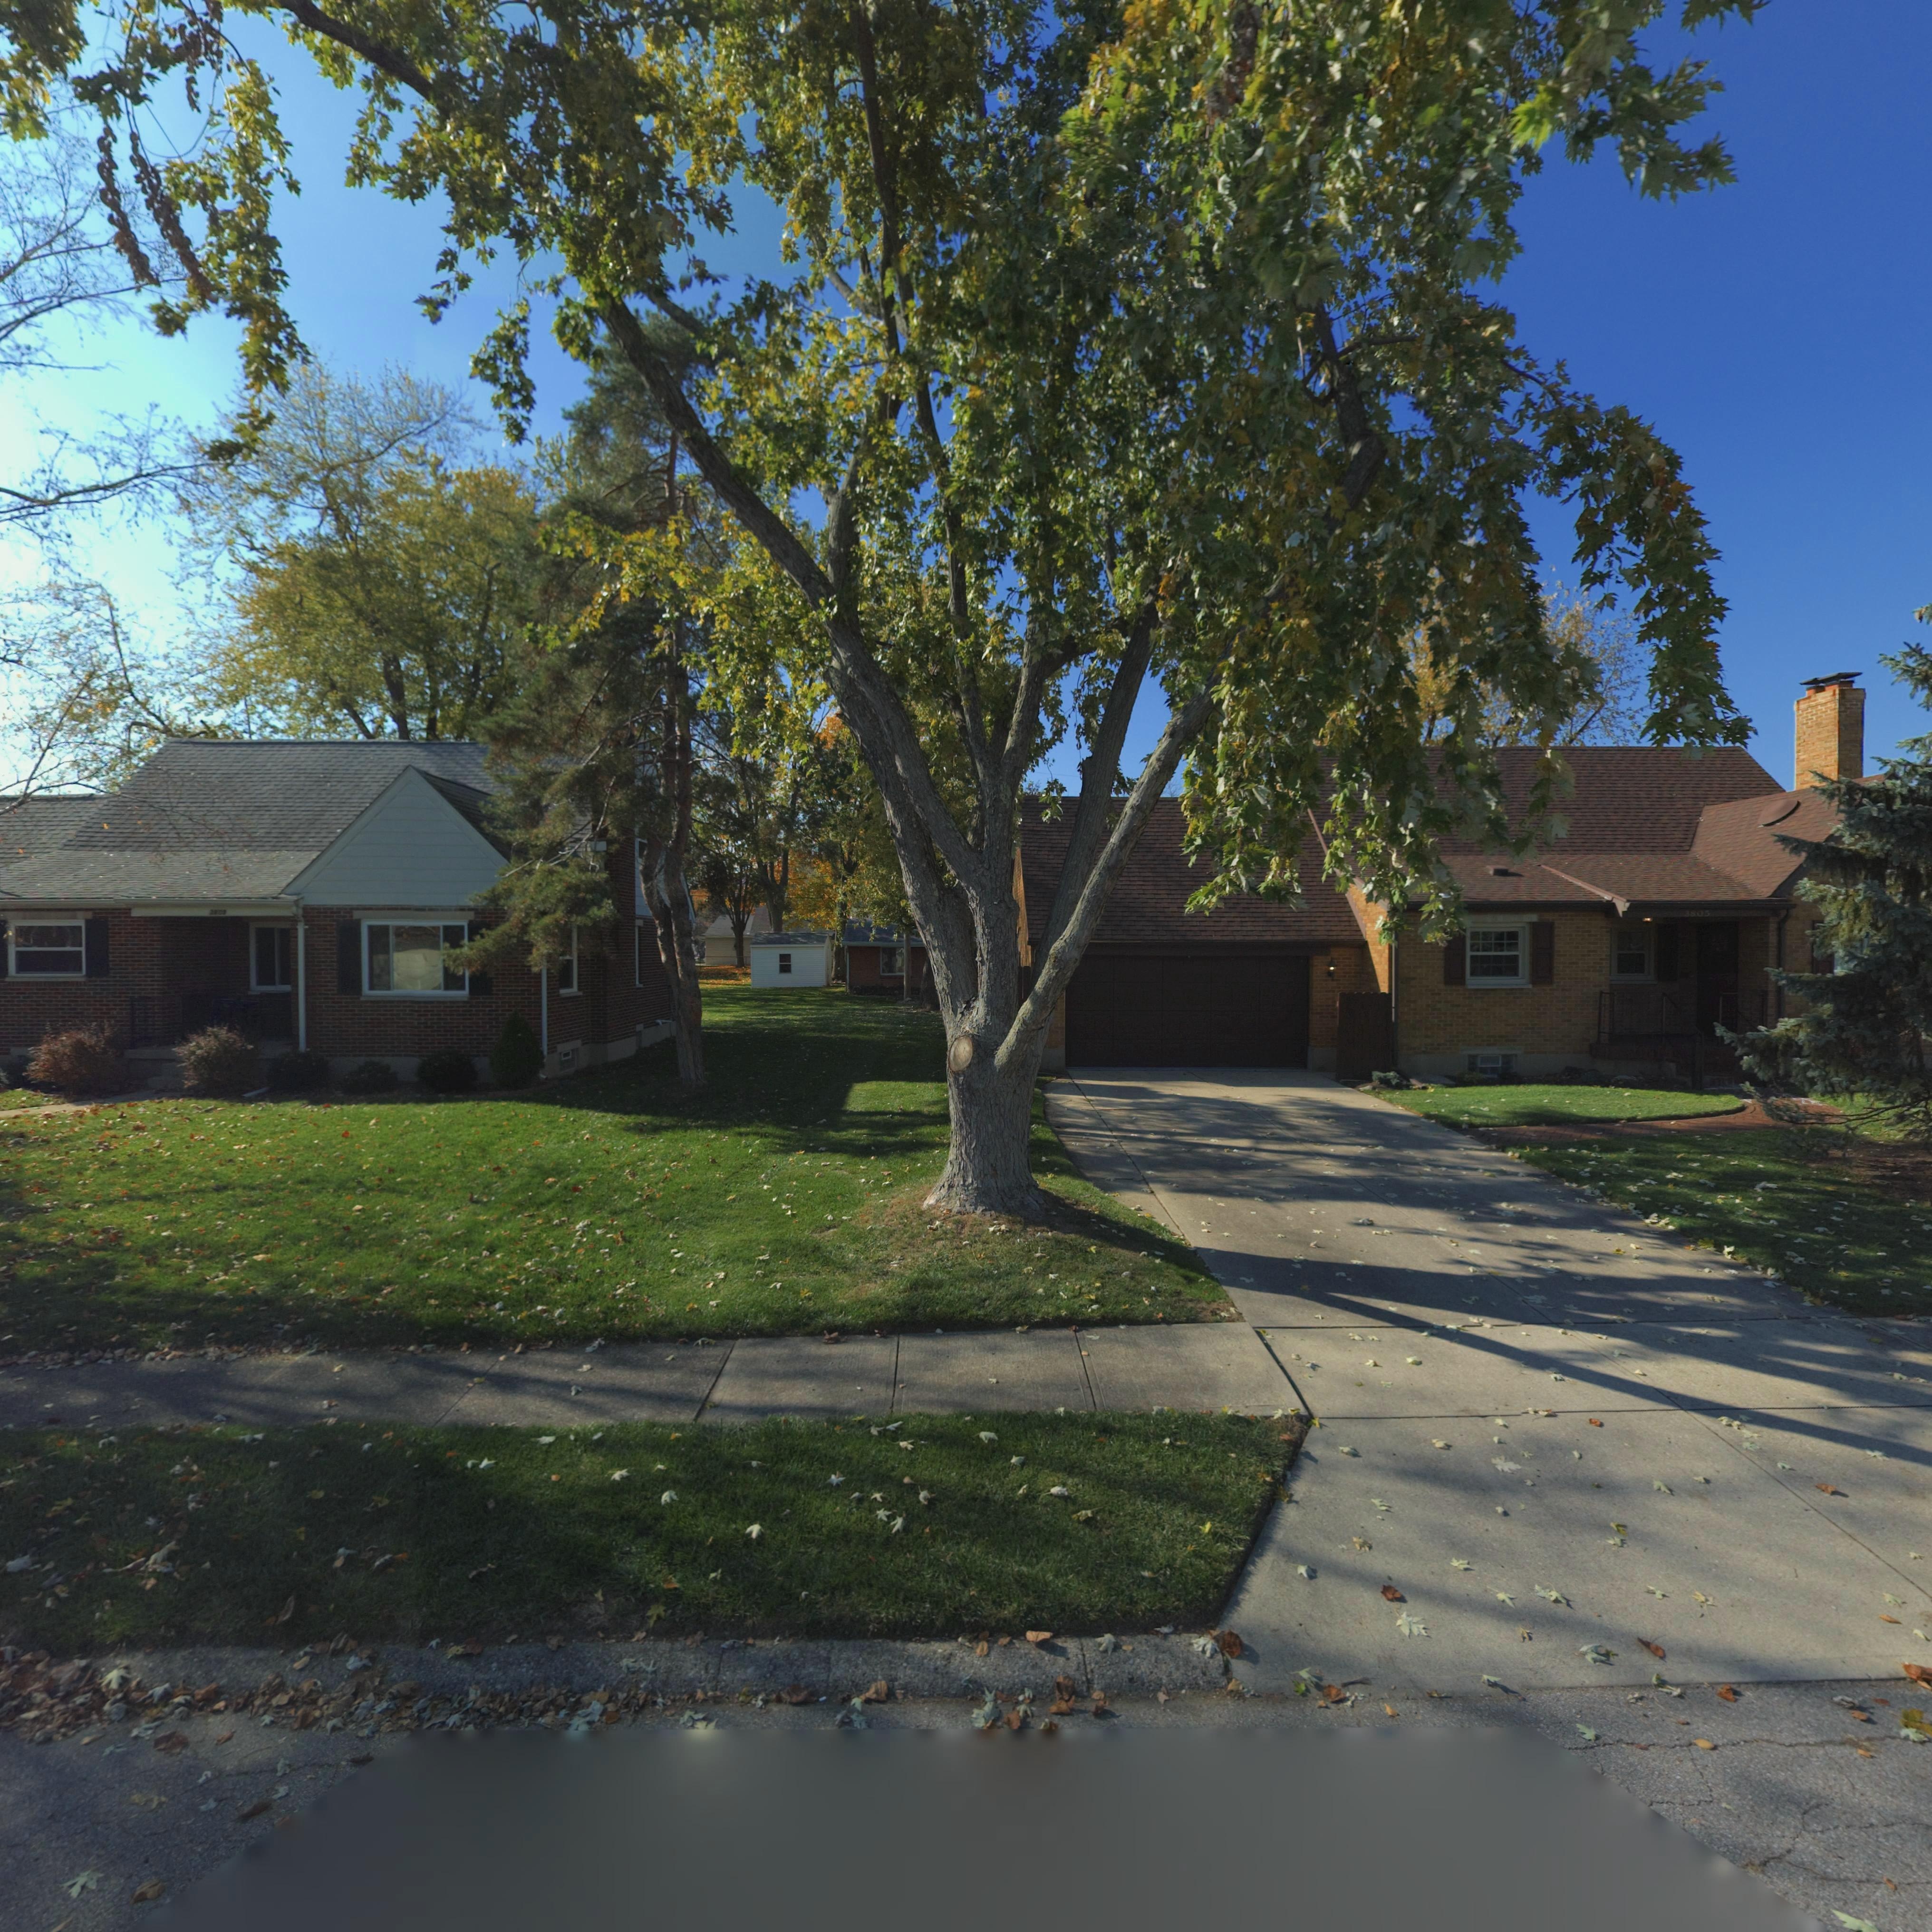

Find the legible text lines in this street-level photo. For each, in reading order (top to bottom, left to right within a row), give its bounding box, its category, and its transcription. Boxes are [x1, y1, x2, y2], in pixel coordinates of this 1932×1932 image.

[208, 909, 227, 915] StreetNumber: 3809